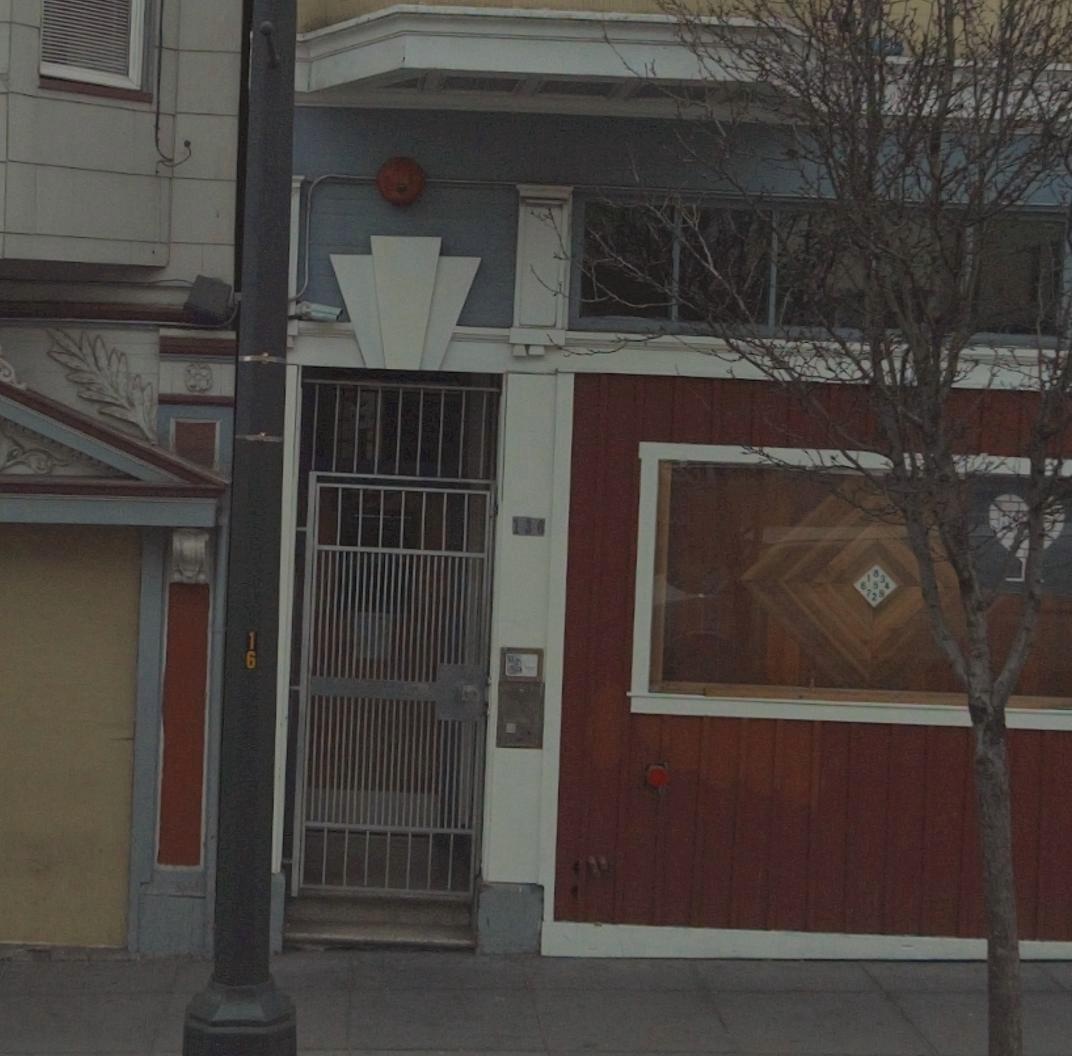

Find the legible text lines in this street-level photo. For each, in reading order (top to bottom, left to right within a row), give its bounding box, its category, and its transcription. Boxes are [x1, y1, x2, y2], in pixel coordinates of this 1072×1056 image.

[510, 516, 546, 538] StreetNumber: 136
[858, 566, 881, 593] None: 618
[863, 571, 887, 601] None: 793
[869, 579, 893, 604] None: 2*4
[243, 626, 259, 672] None: 16